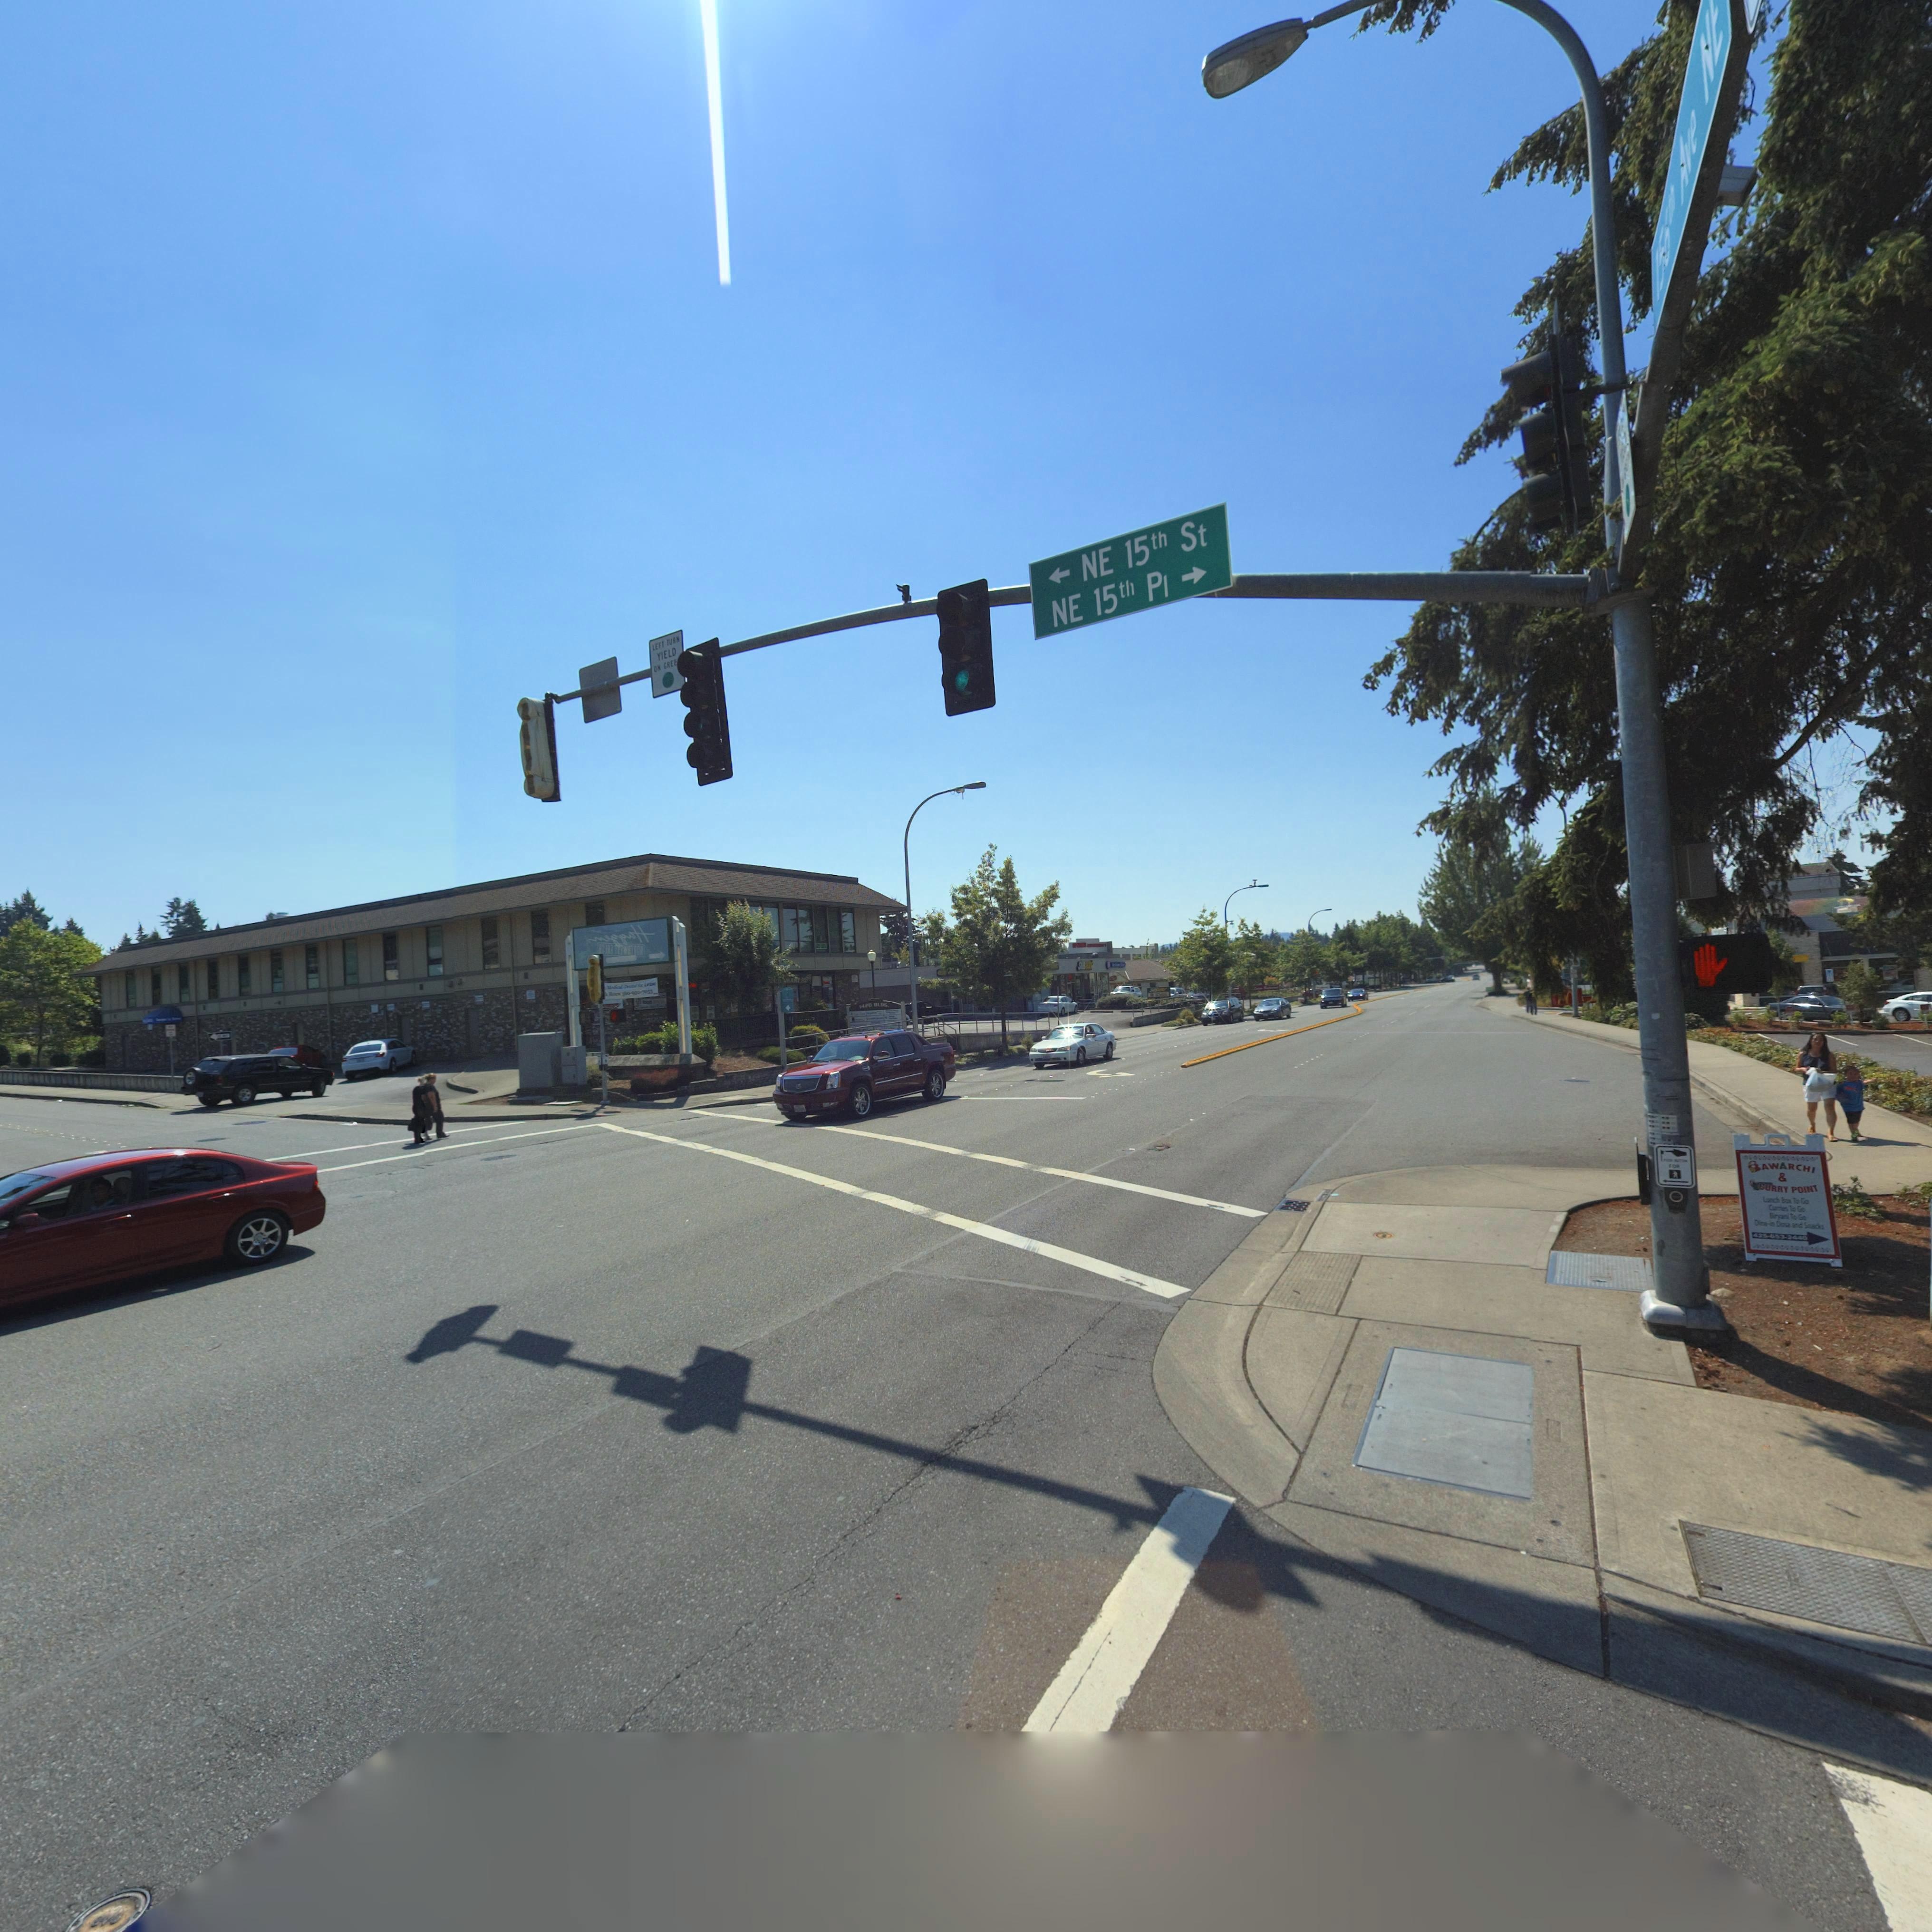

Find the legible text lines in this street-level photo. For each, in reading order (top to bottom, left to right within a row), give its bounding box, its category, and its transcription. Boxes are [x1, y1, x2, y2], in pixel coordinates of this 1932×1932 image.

[1044, 513, 1217, 593] StreetName: <- NE 15** ST
[1045, 556, 1217, 629] StreetName: NE 15th Pl ->
[651, 635, 681, 651] None: LEFT TURN
[656, 645, 678, 661] None: YIELD
[1077, 960, 1094, 970] BusinessName: SUBWAY
[859, 1003, 872, 1009] StreetNumber: 1420
[873, 1002, 889, 1007] StreetNumber: BLDG